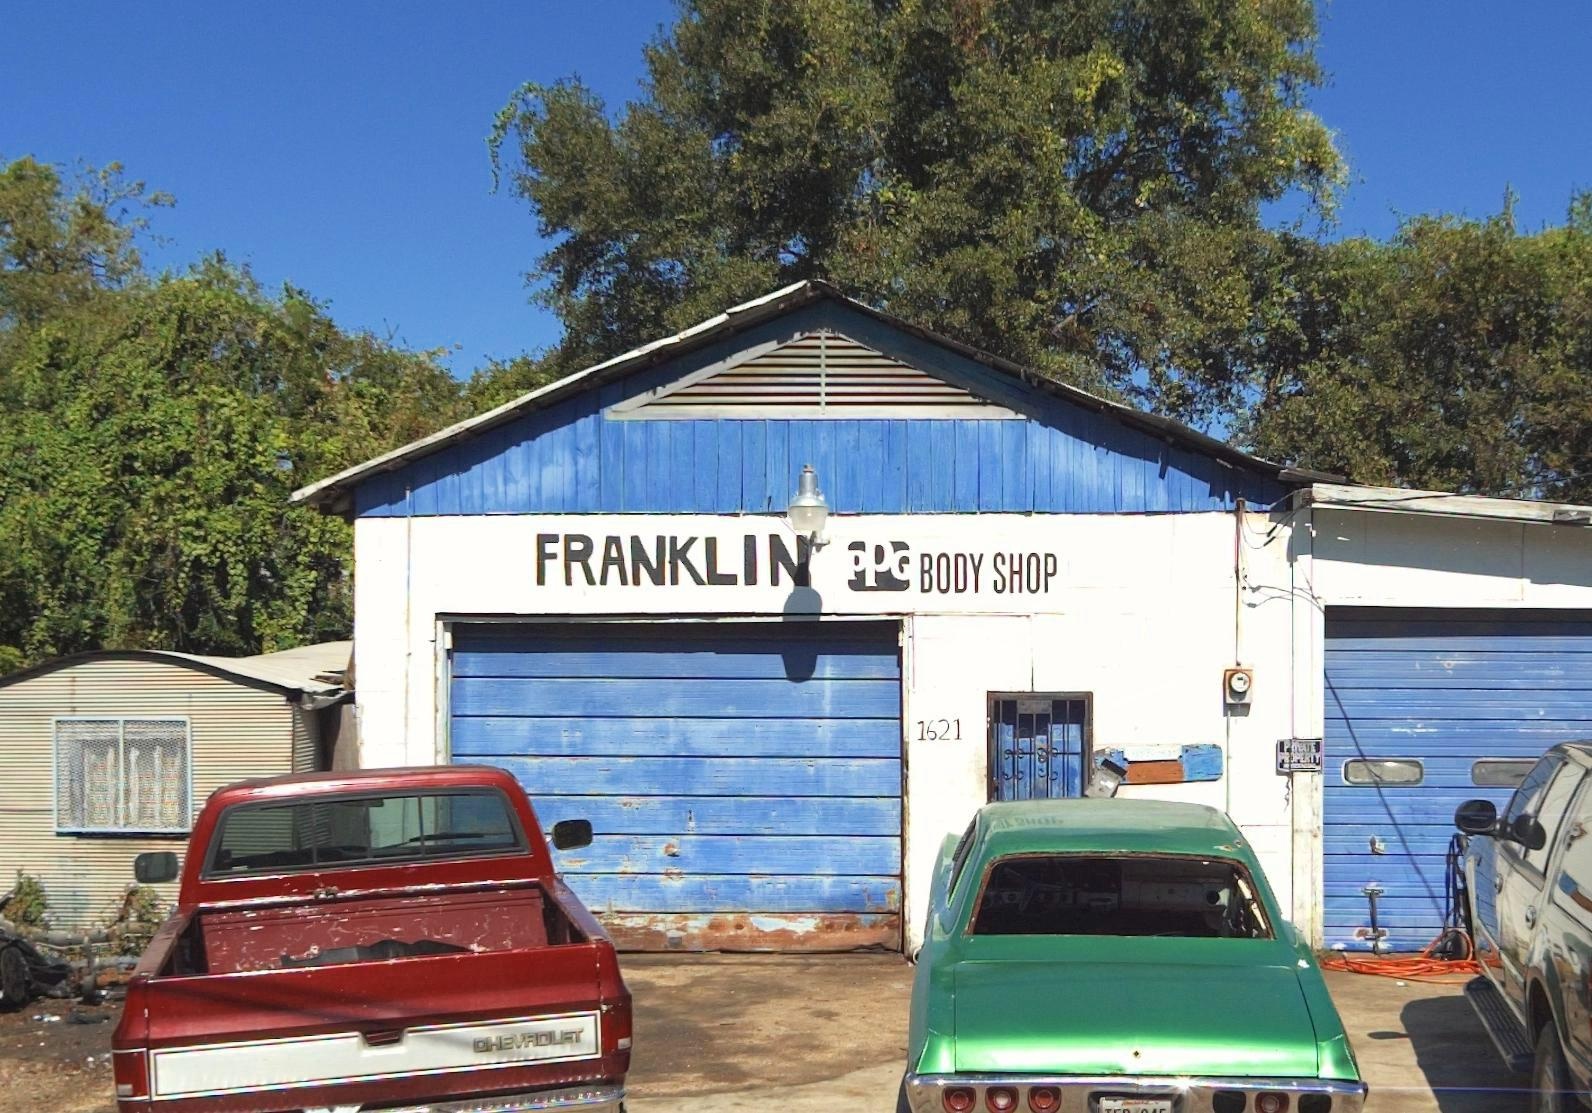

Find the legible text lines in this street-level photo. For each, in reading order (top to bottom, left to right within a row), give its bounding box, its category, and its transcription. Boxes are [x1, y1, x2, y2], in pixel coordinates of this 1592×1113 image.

[535, 533, 1059, 595] BusinessName: FRANKLIN PPG BODY SHOP
[916, 717, 963, 742] StreetNumber: 1621
[473, 1026, 586, 1055] None: CHEVROLET